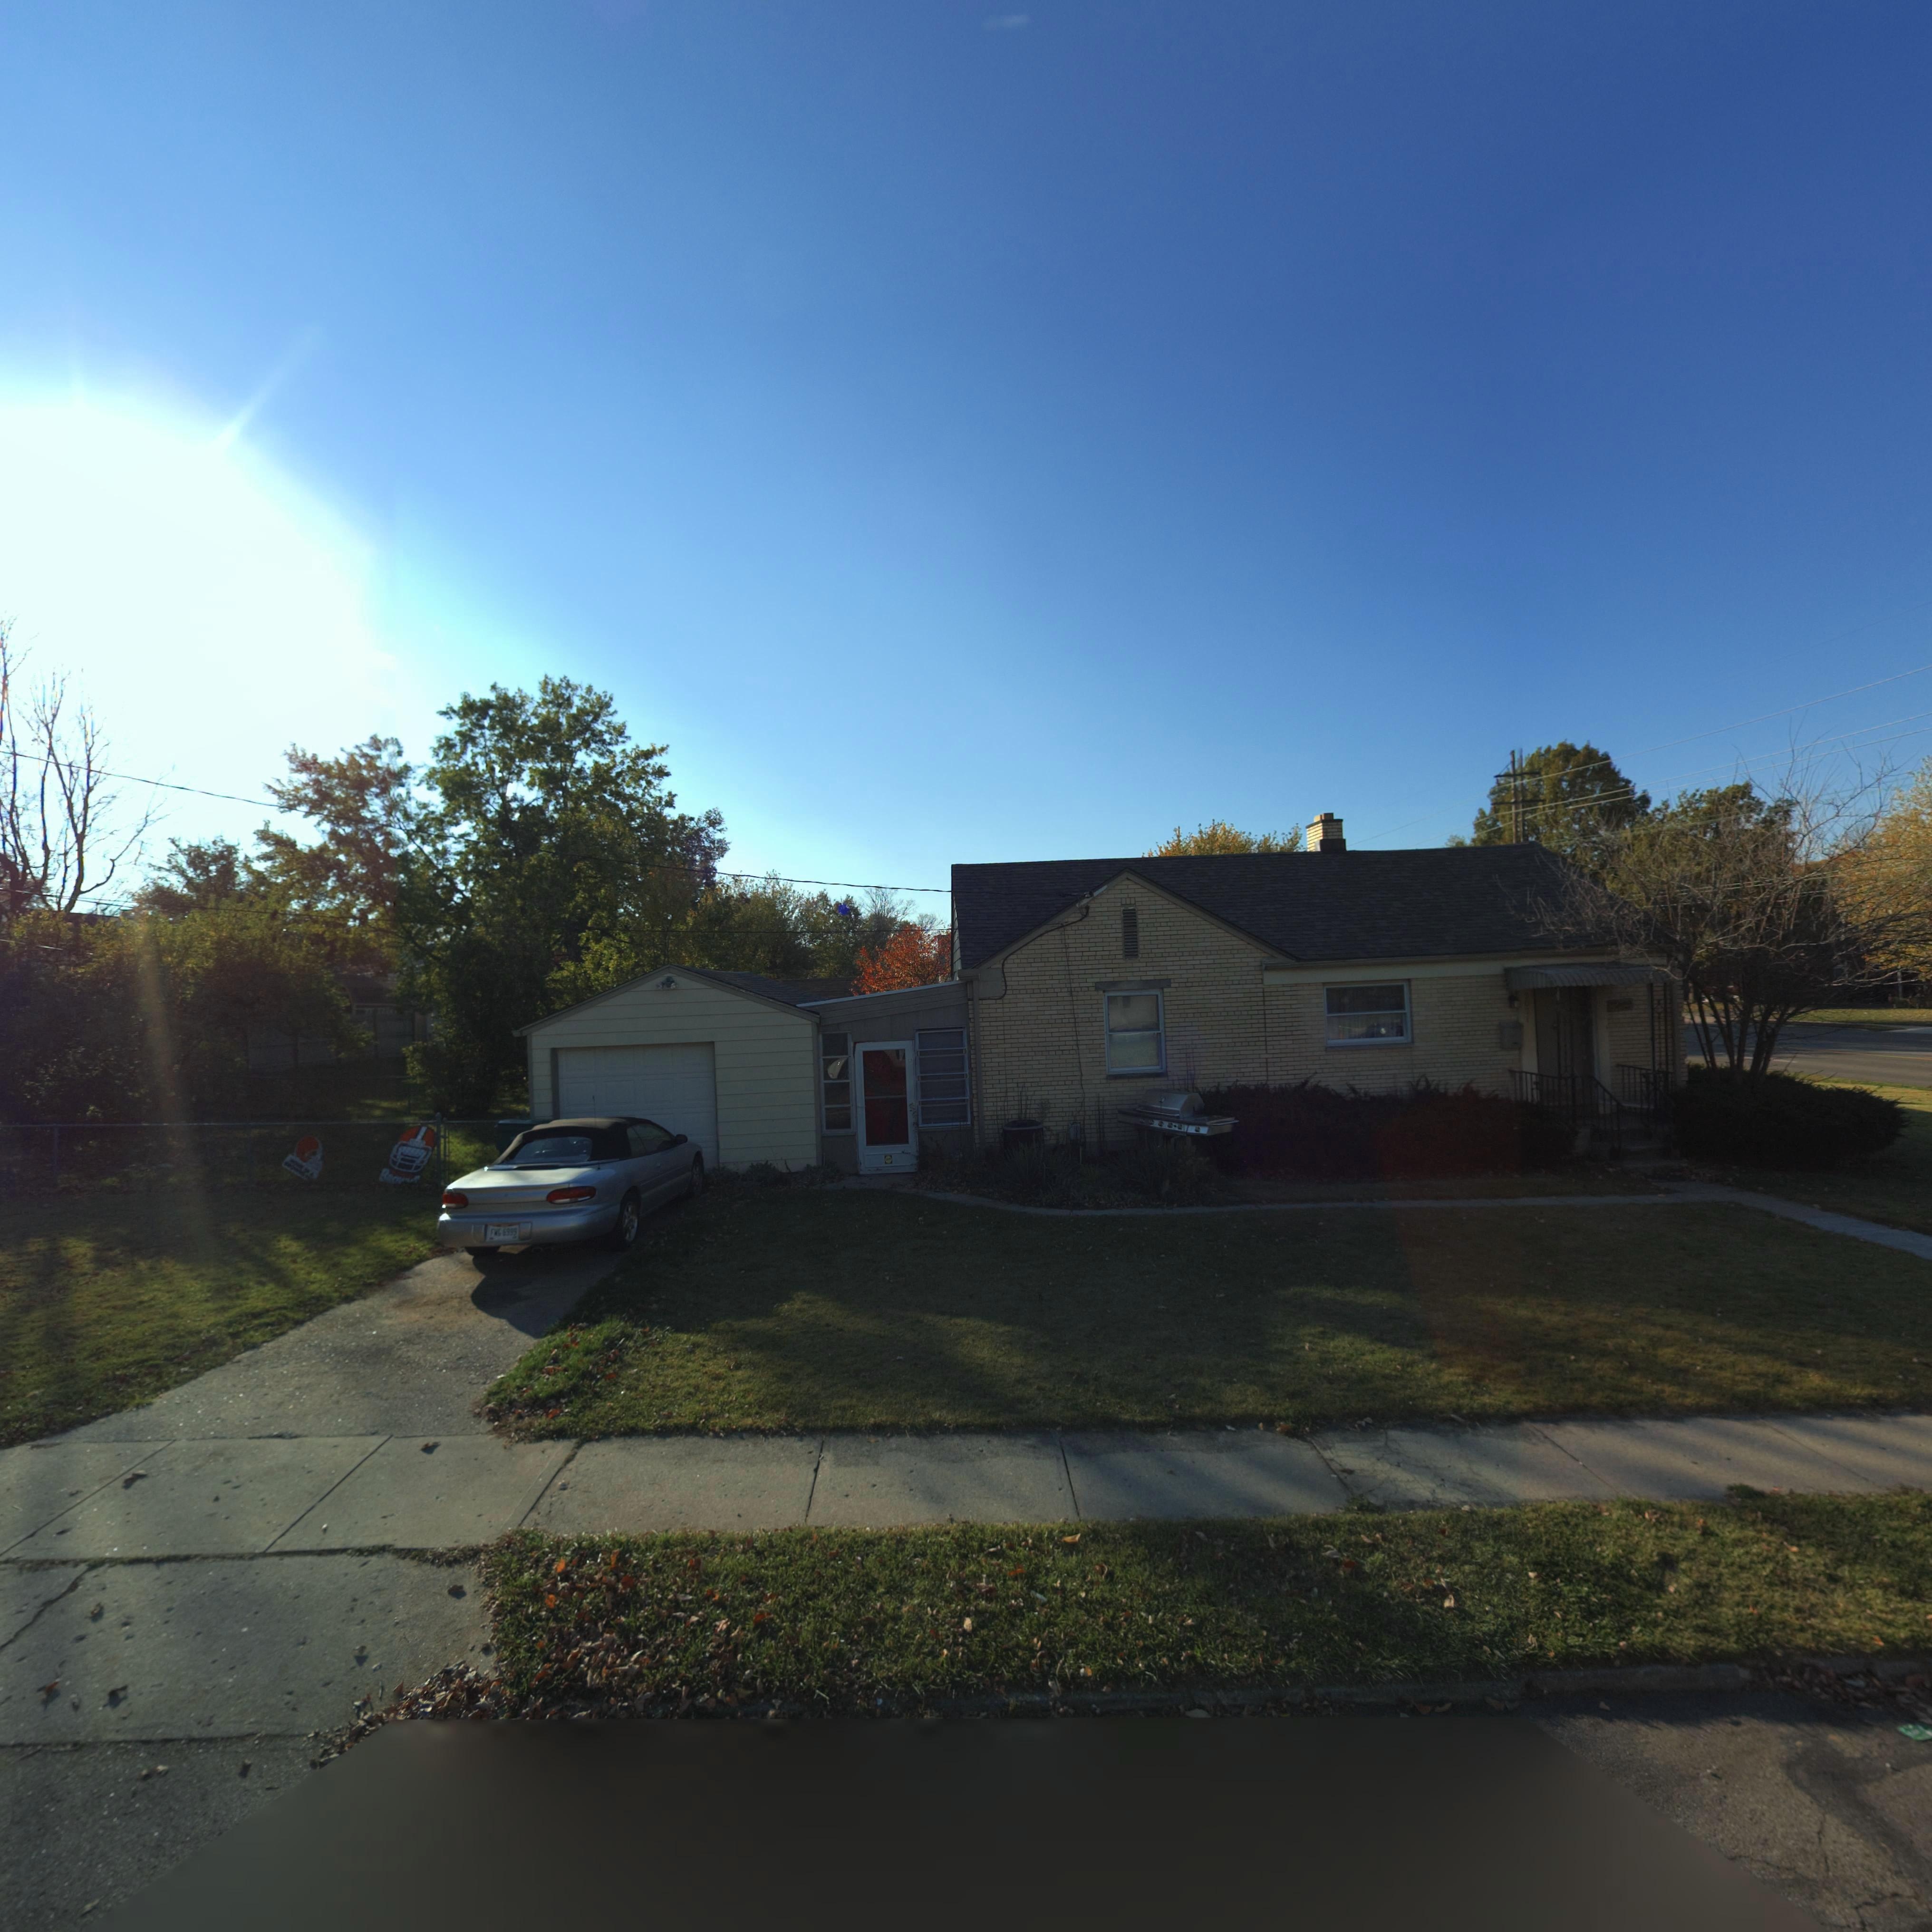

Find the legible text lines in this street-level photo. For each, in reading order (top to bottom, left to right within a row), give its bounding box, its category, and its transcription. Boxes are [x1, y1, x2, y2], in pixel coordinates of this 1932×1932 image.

[1523, 991, 1530, 1024] StreetNumber: 30*1